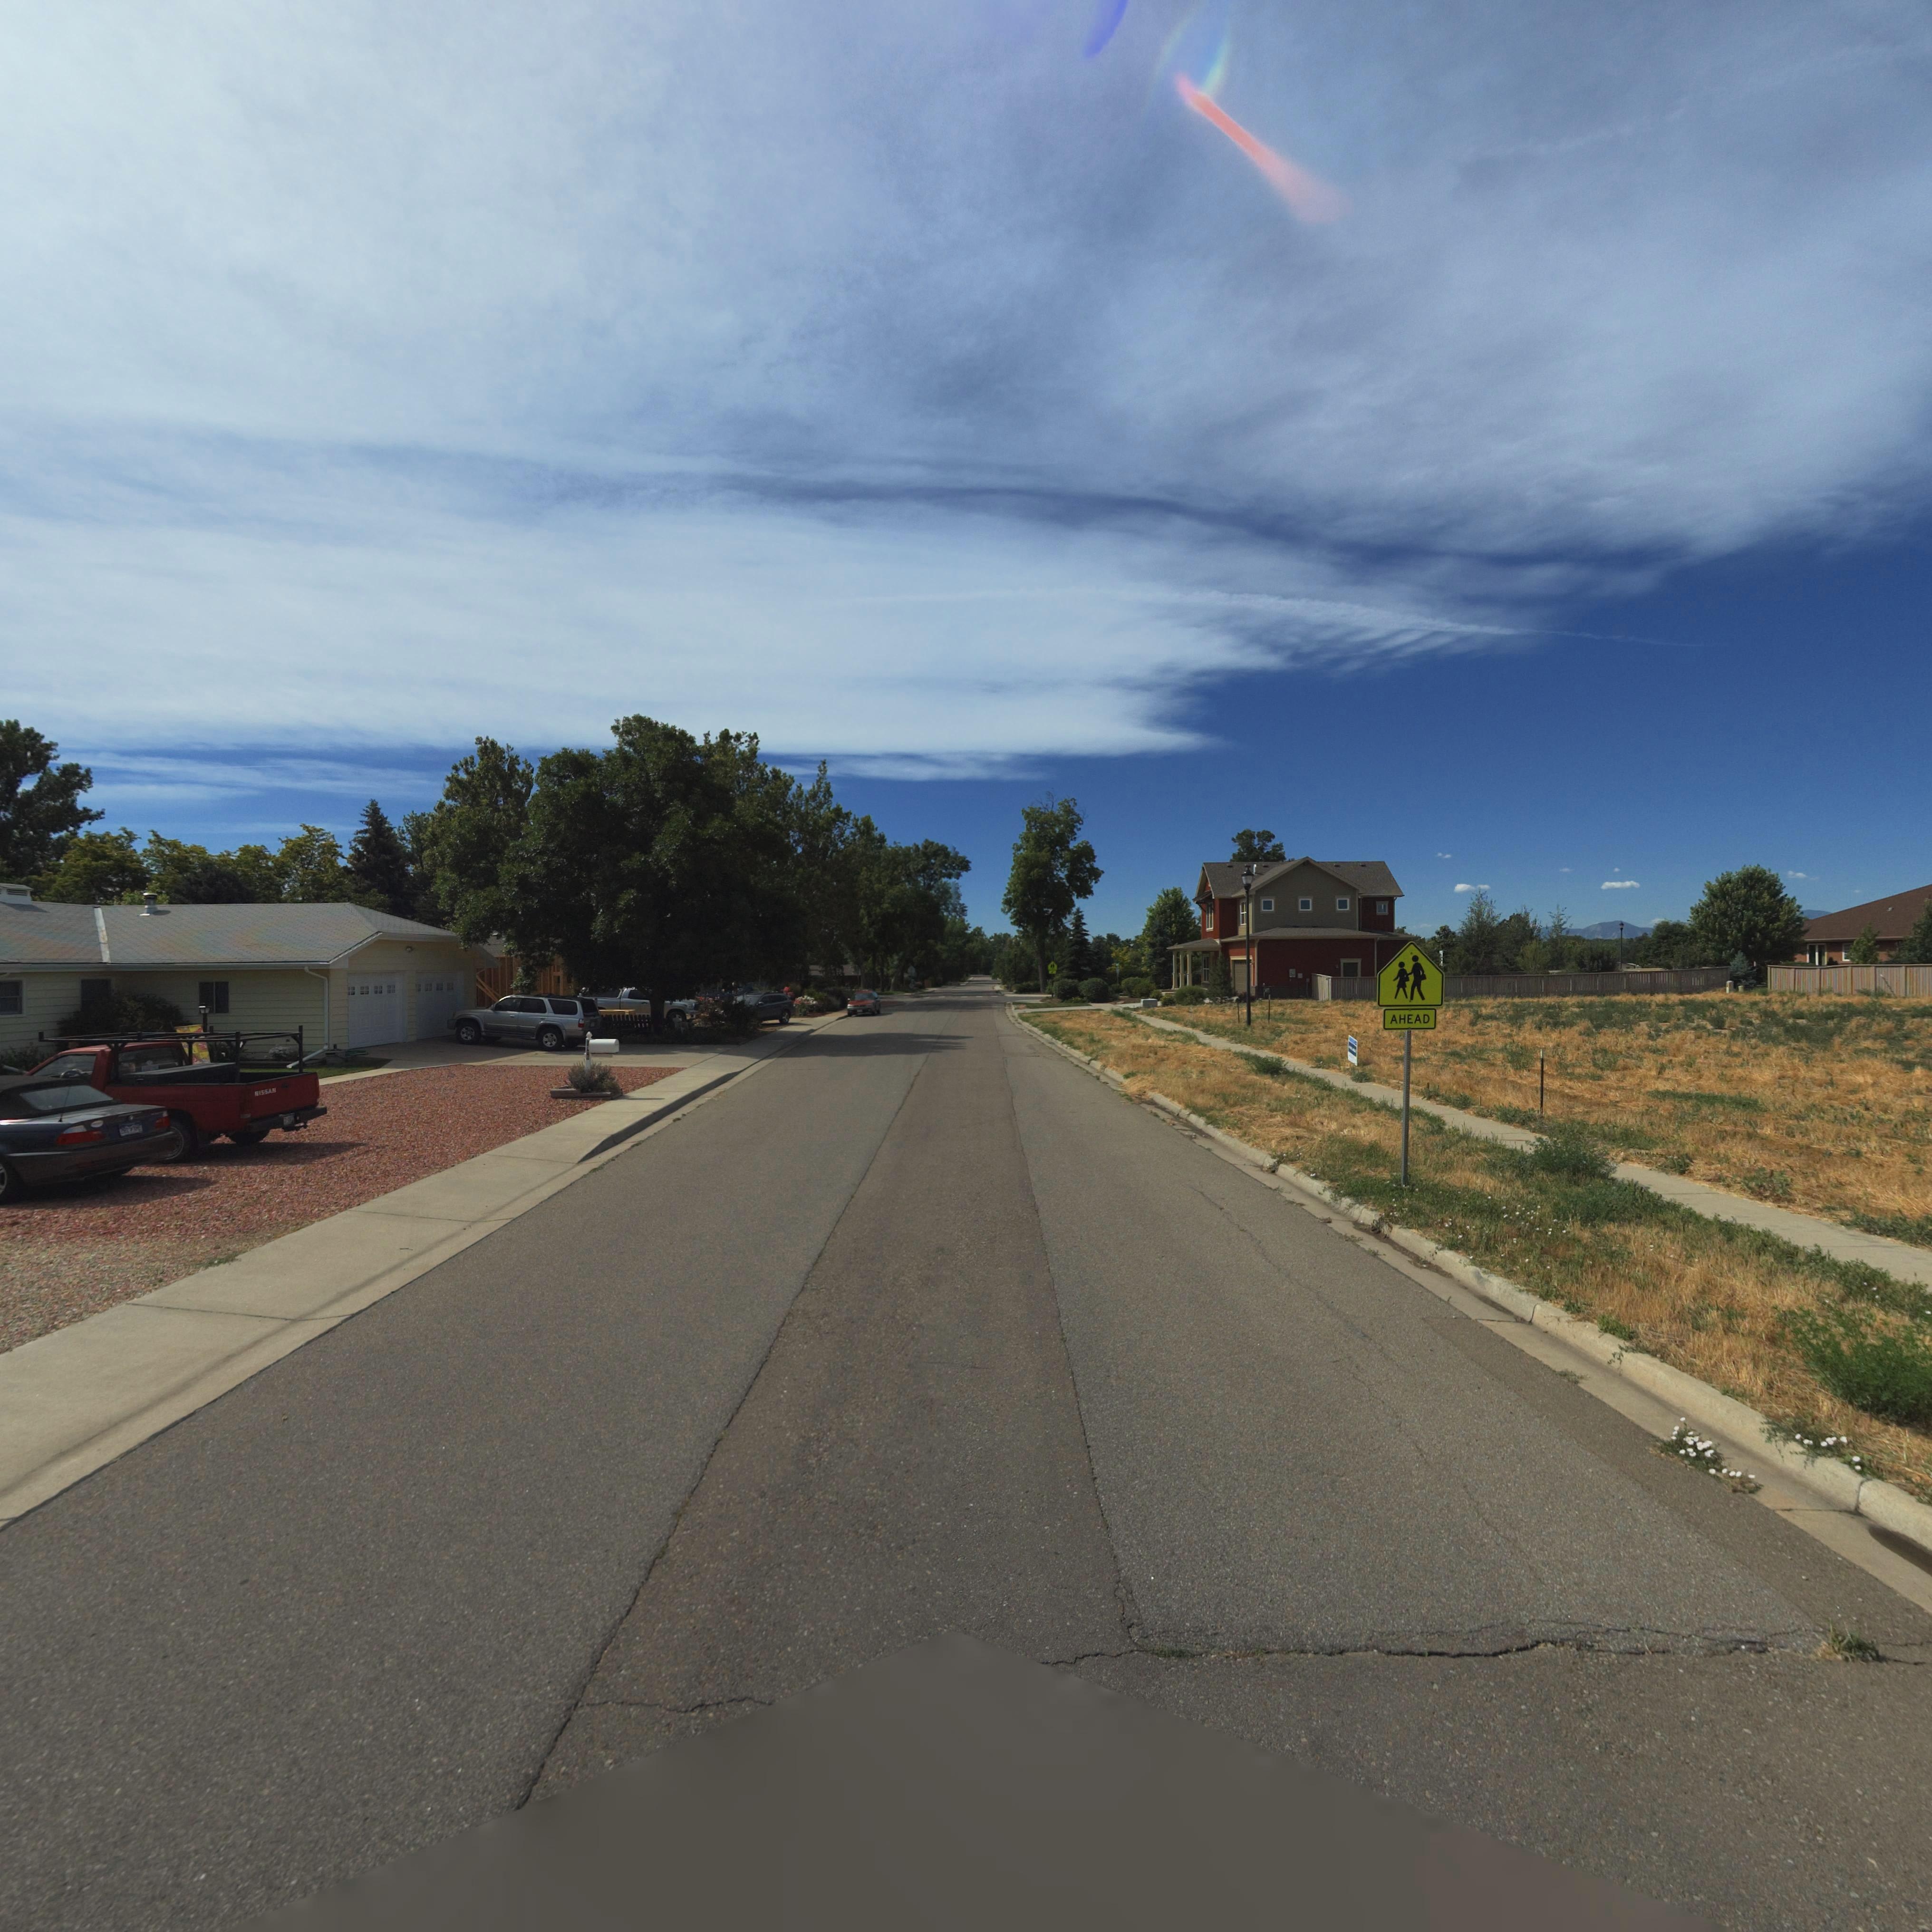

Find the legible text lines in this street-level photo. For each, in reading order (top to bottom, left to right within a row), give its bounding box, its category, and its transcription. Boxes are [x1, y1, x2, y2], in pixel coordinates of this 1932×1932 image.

[587, 1040, 589, 1059] StreetNumber: 1*16